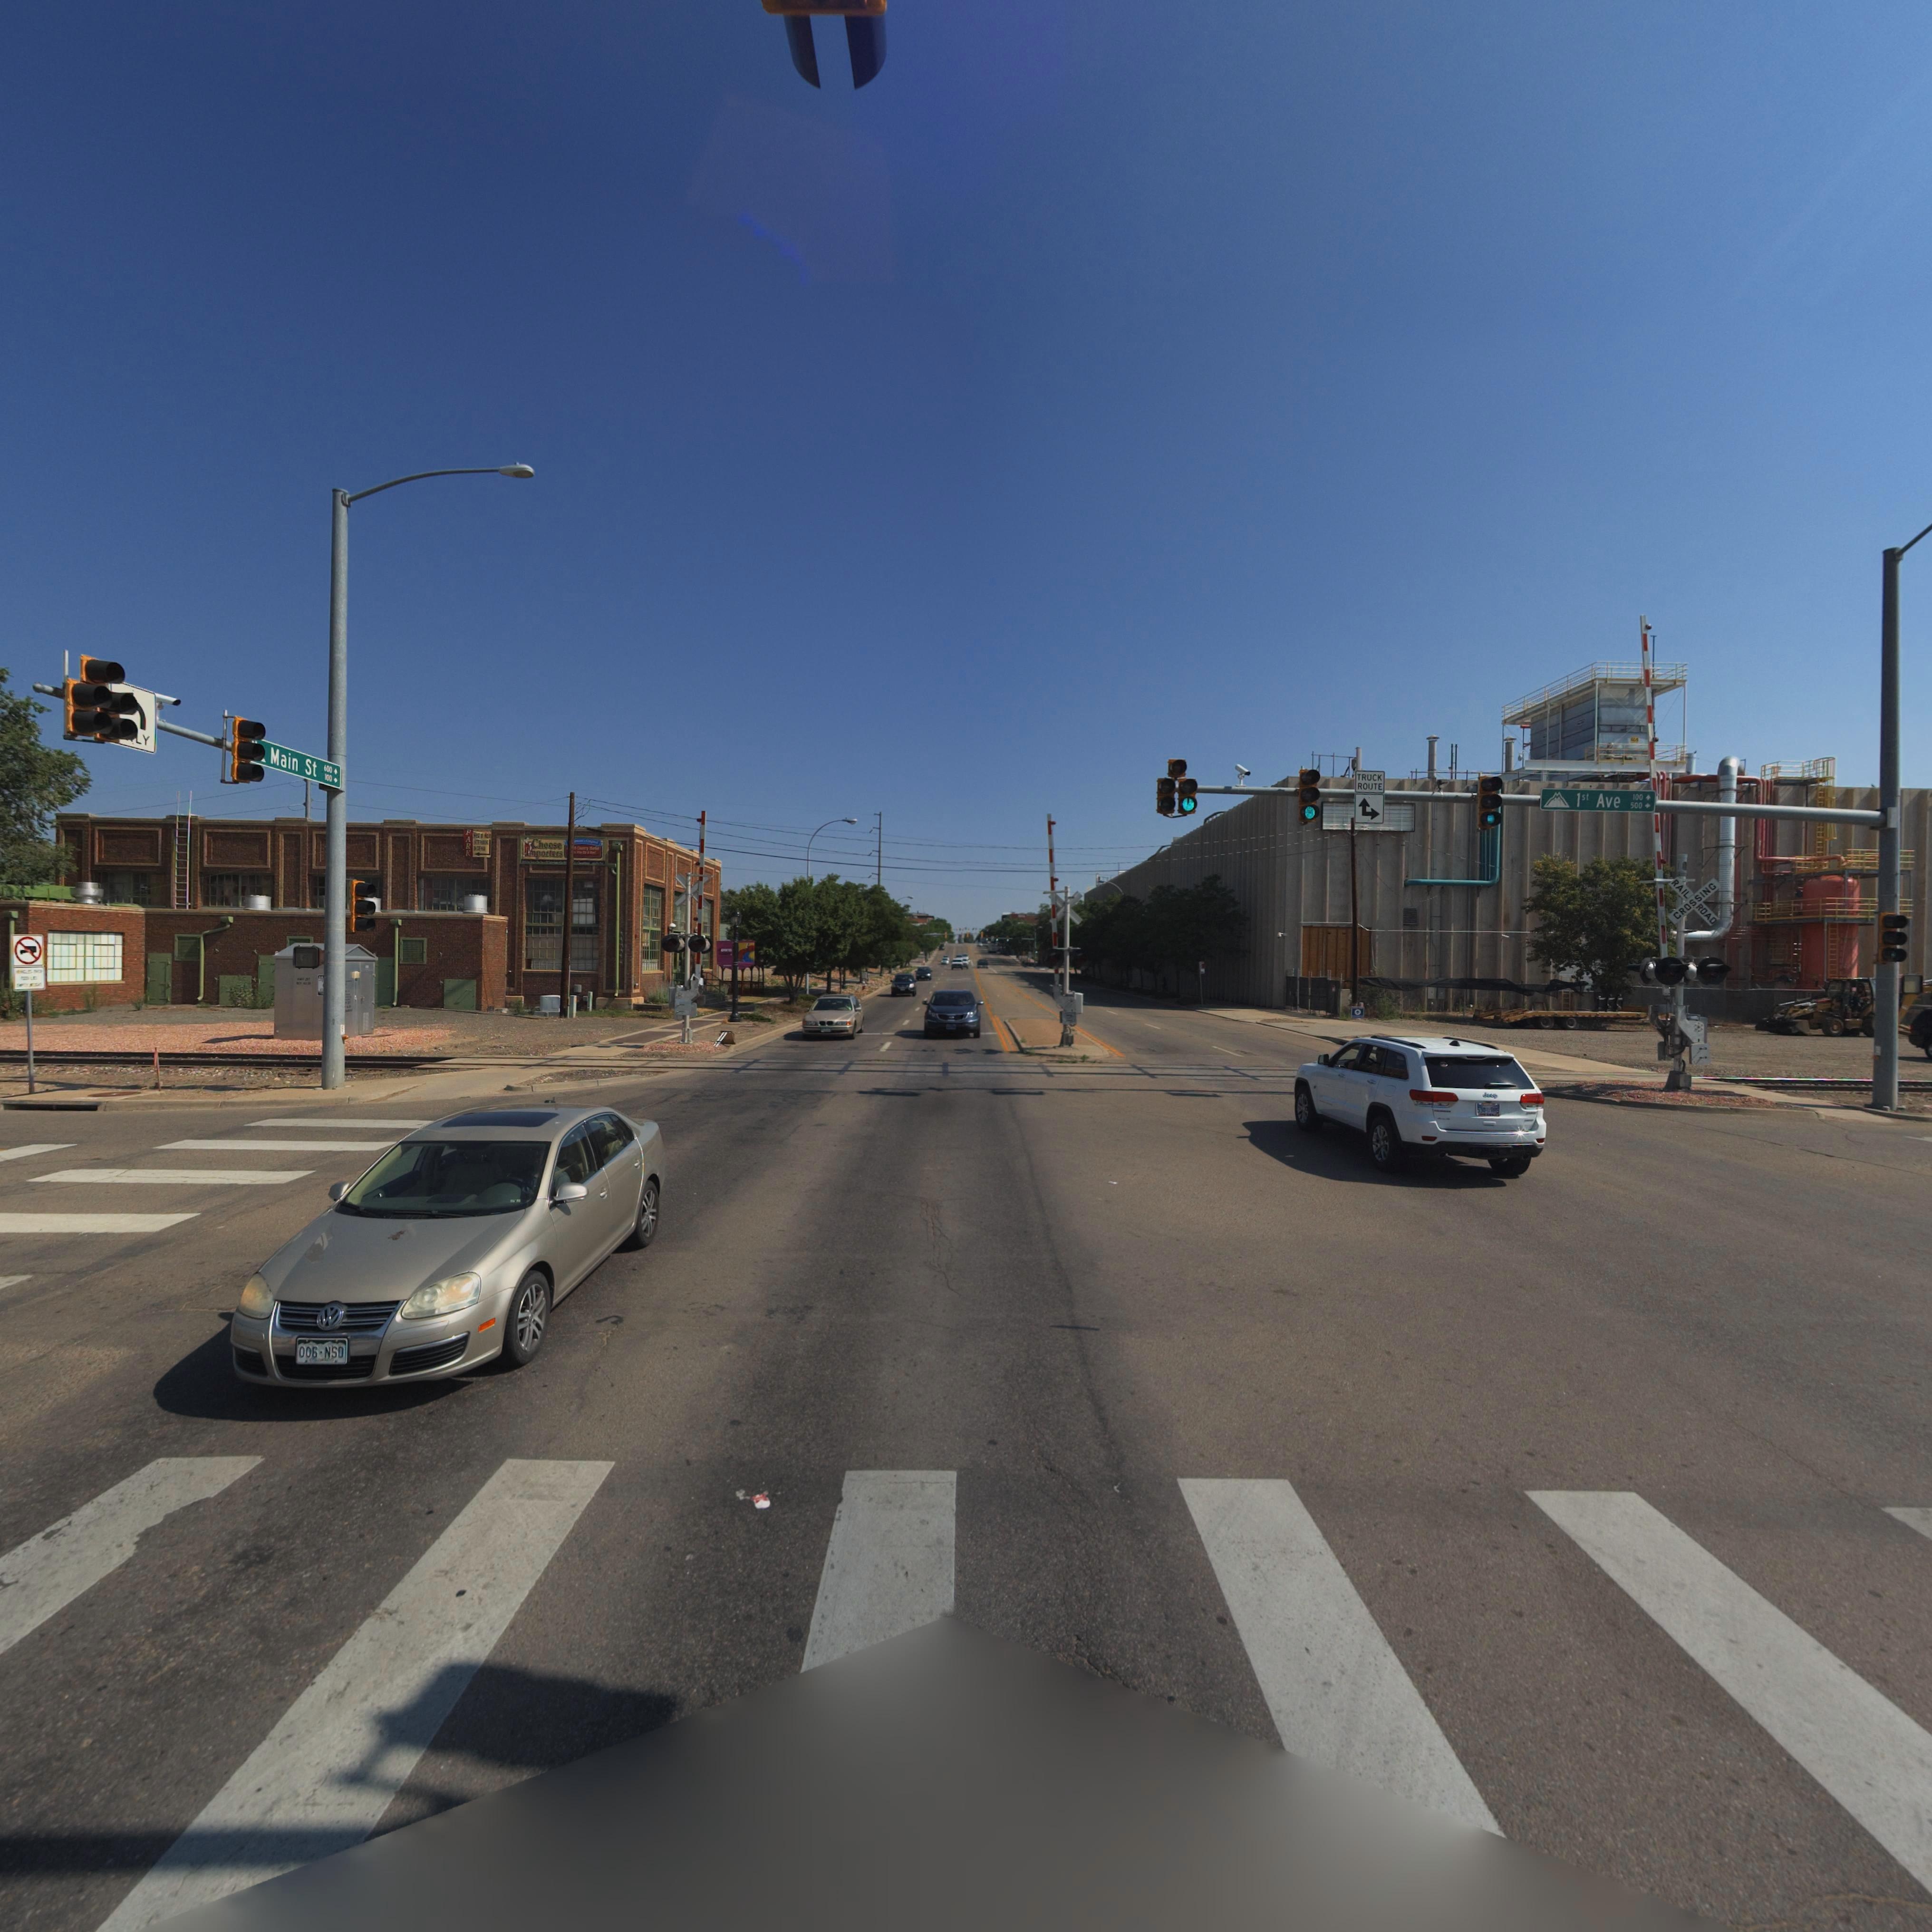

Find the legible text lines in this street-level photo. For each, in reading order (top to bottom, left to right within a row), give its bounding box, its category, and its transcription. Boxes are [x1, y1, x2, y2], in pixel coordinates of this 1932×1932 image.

[270, 746, 318, 777] StreetName: Main St
[323, 764, 332, 773] StreetNumberRange: 6*0
[324, 773, 338, 784] StreetNumberRange: **0 ->
[1576, 792, 1621, 808] StreetName: 1st Ave
[1633, 793, 1643, 801] StreetNumberRange: 100
[1630, 802, 1651, 809] StreetNumberRange: 500 ->
[532, 837, 562, 849] BusinessName: Cheese
[526, 847, 563, 860] BusinessName: Import*rs